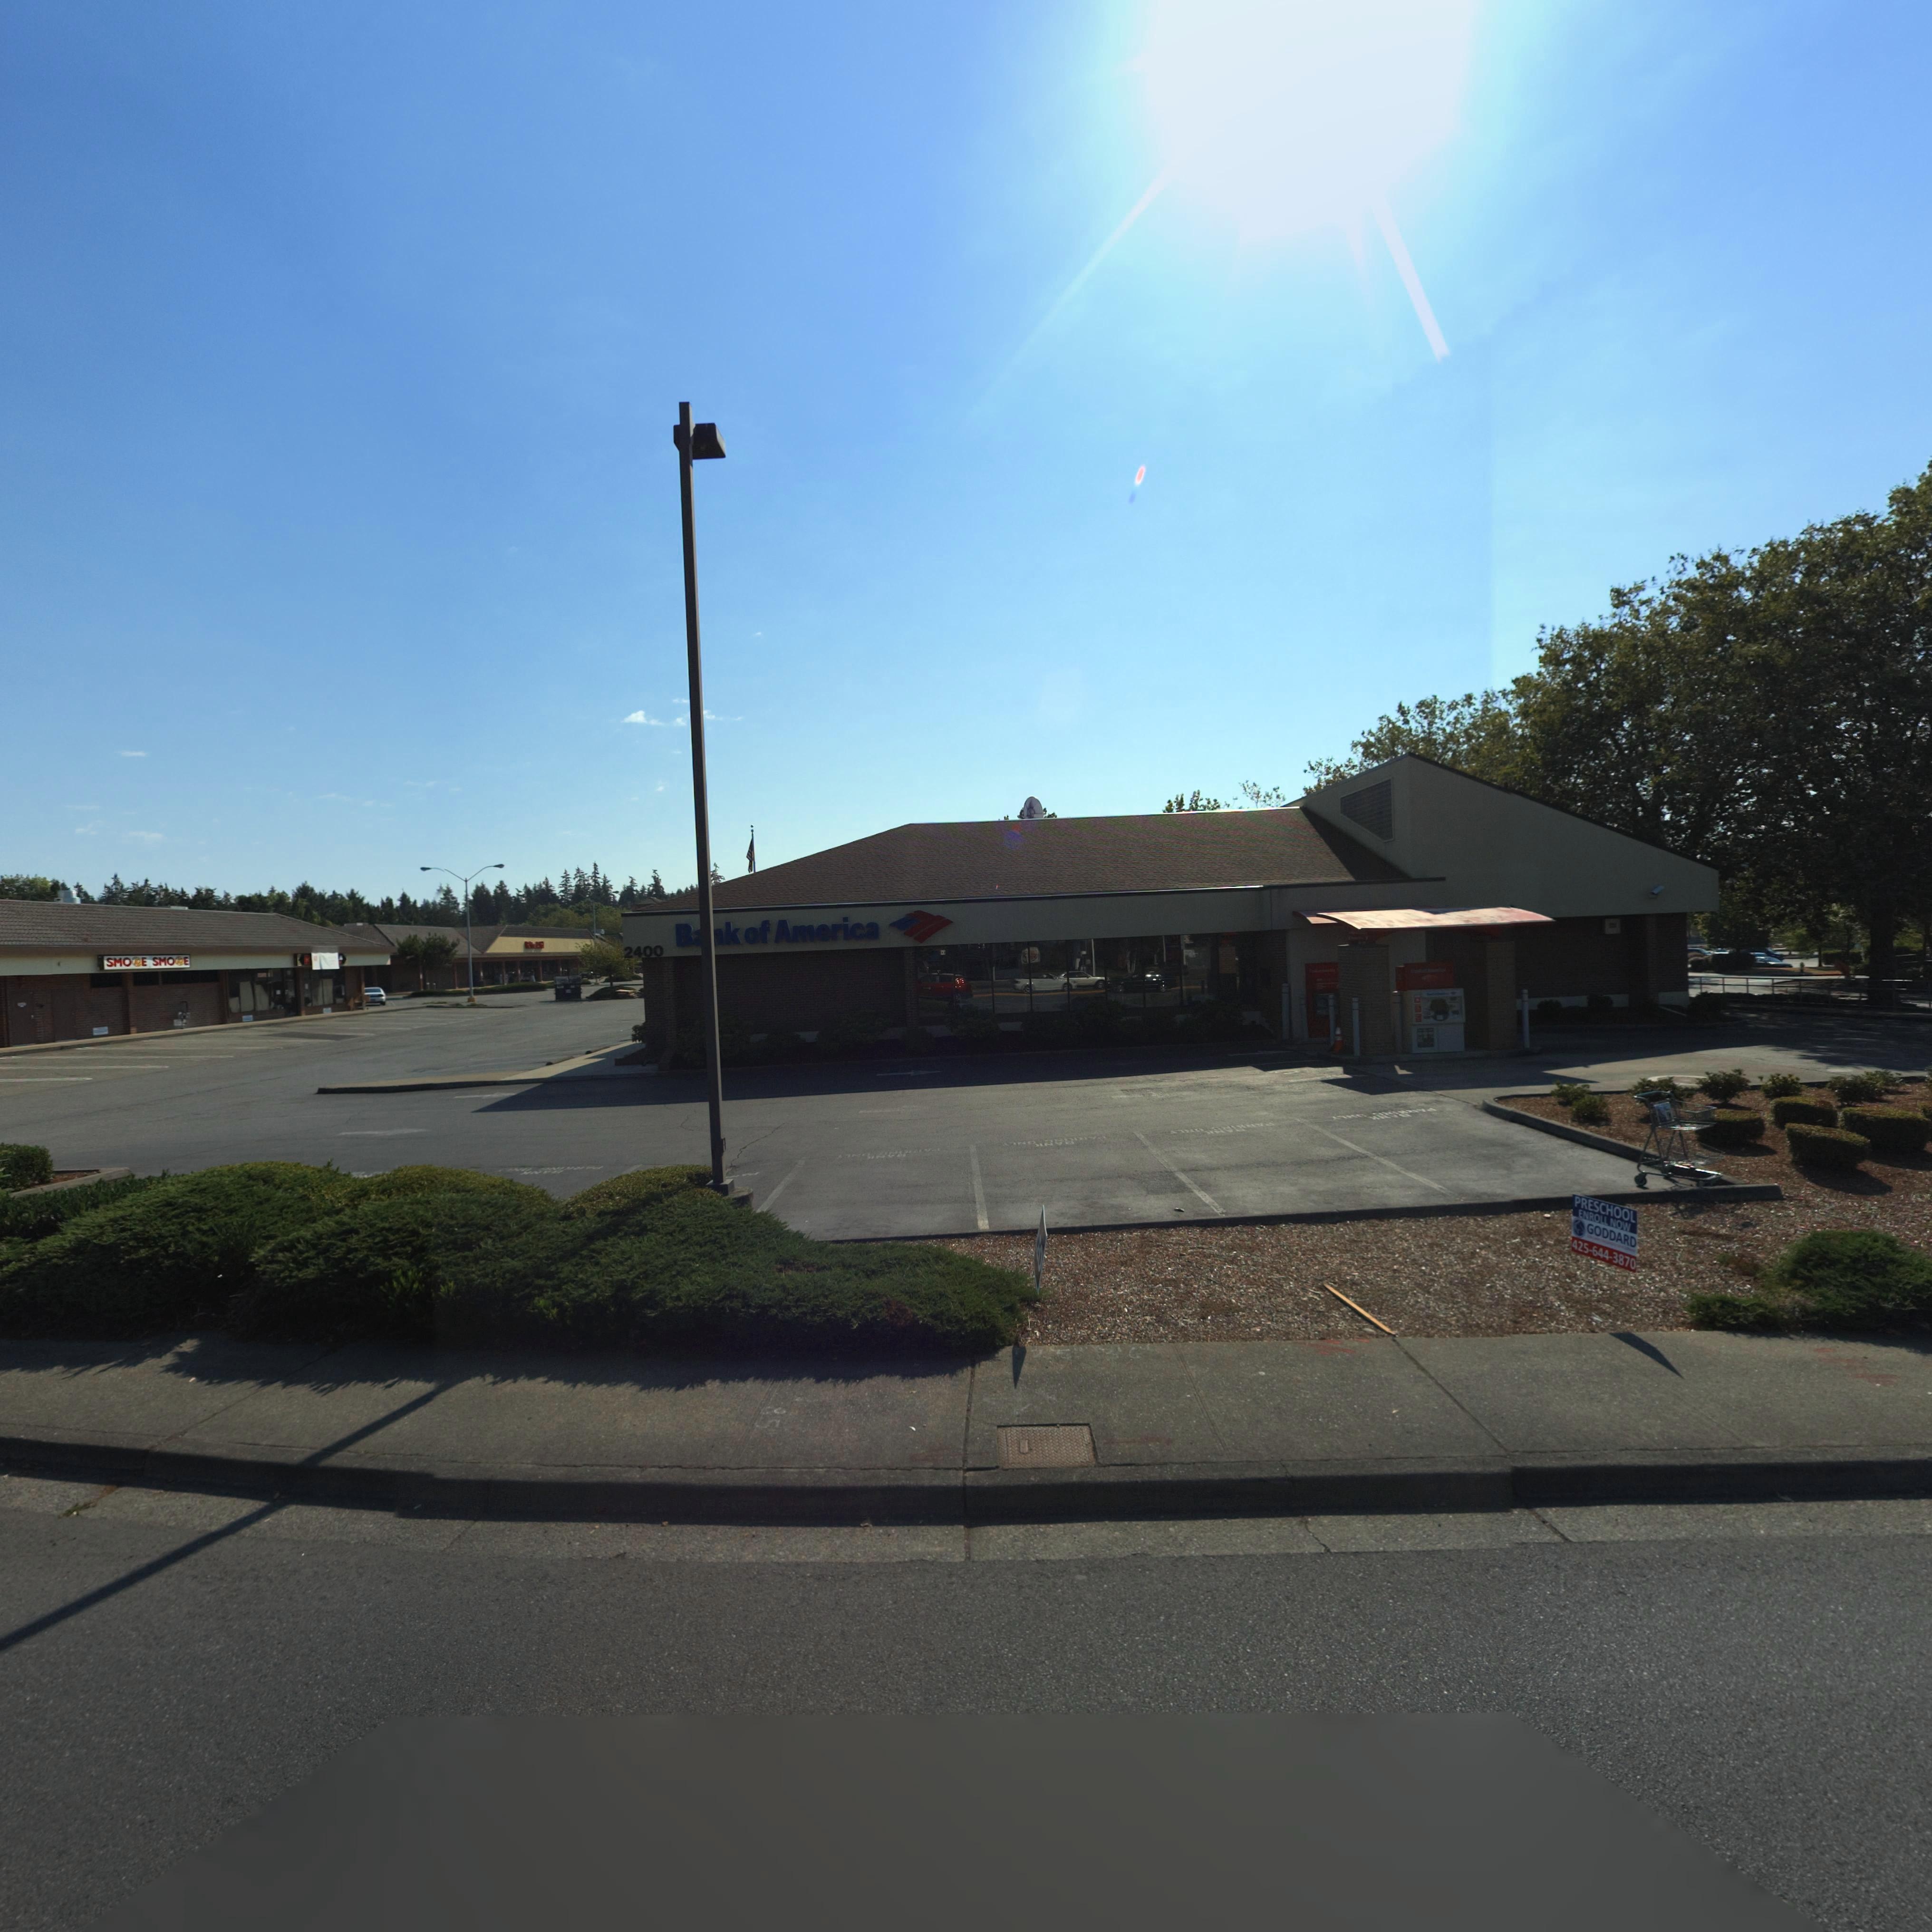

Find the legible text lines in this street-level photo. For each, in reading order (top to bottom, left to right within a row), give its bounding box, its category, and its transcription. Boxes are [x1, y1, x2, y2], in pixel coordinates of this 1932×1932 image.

[675, 916, 880, 947] BusinessName: B**k of America
[624, 946, 663, 958] StreetNumber: 2400
[106, 956, 189, 967] BusinessName: SMO*E SMO*E